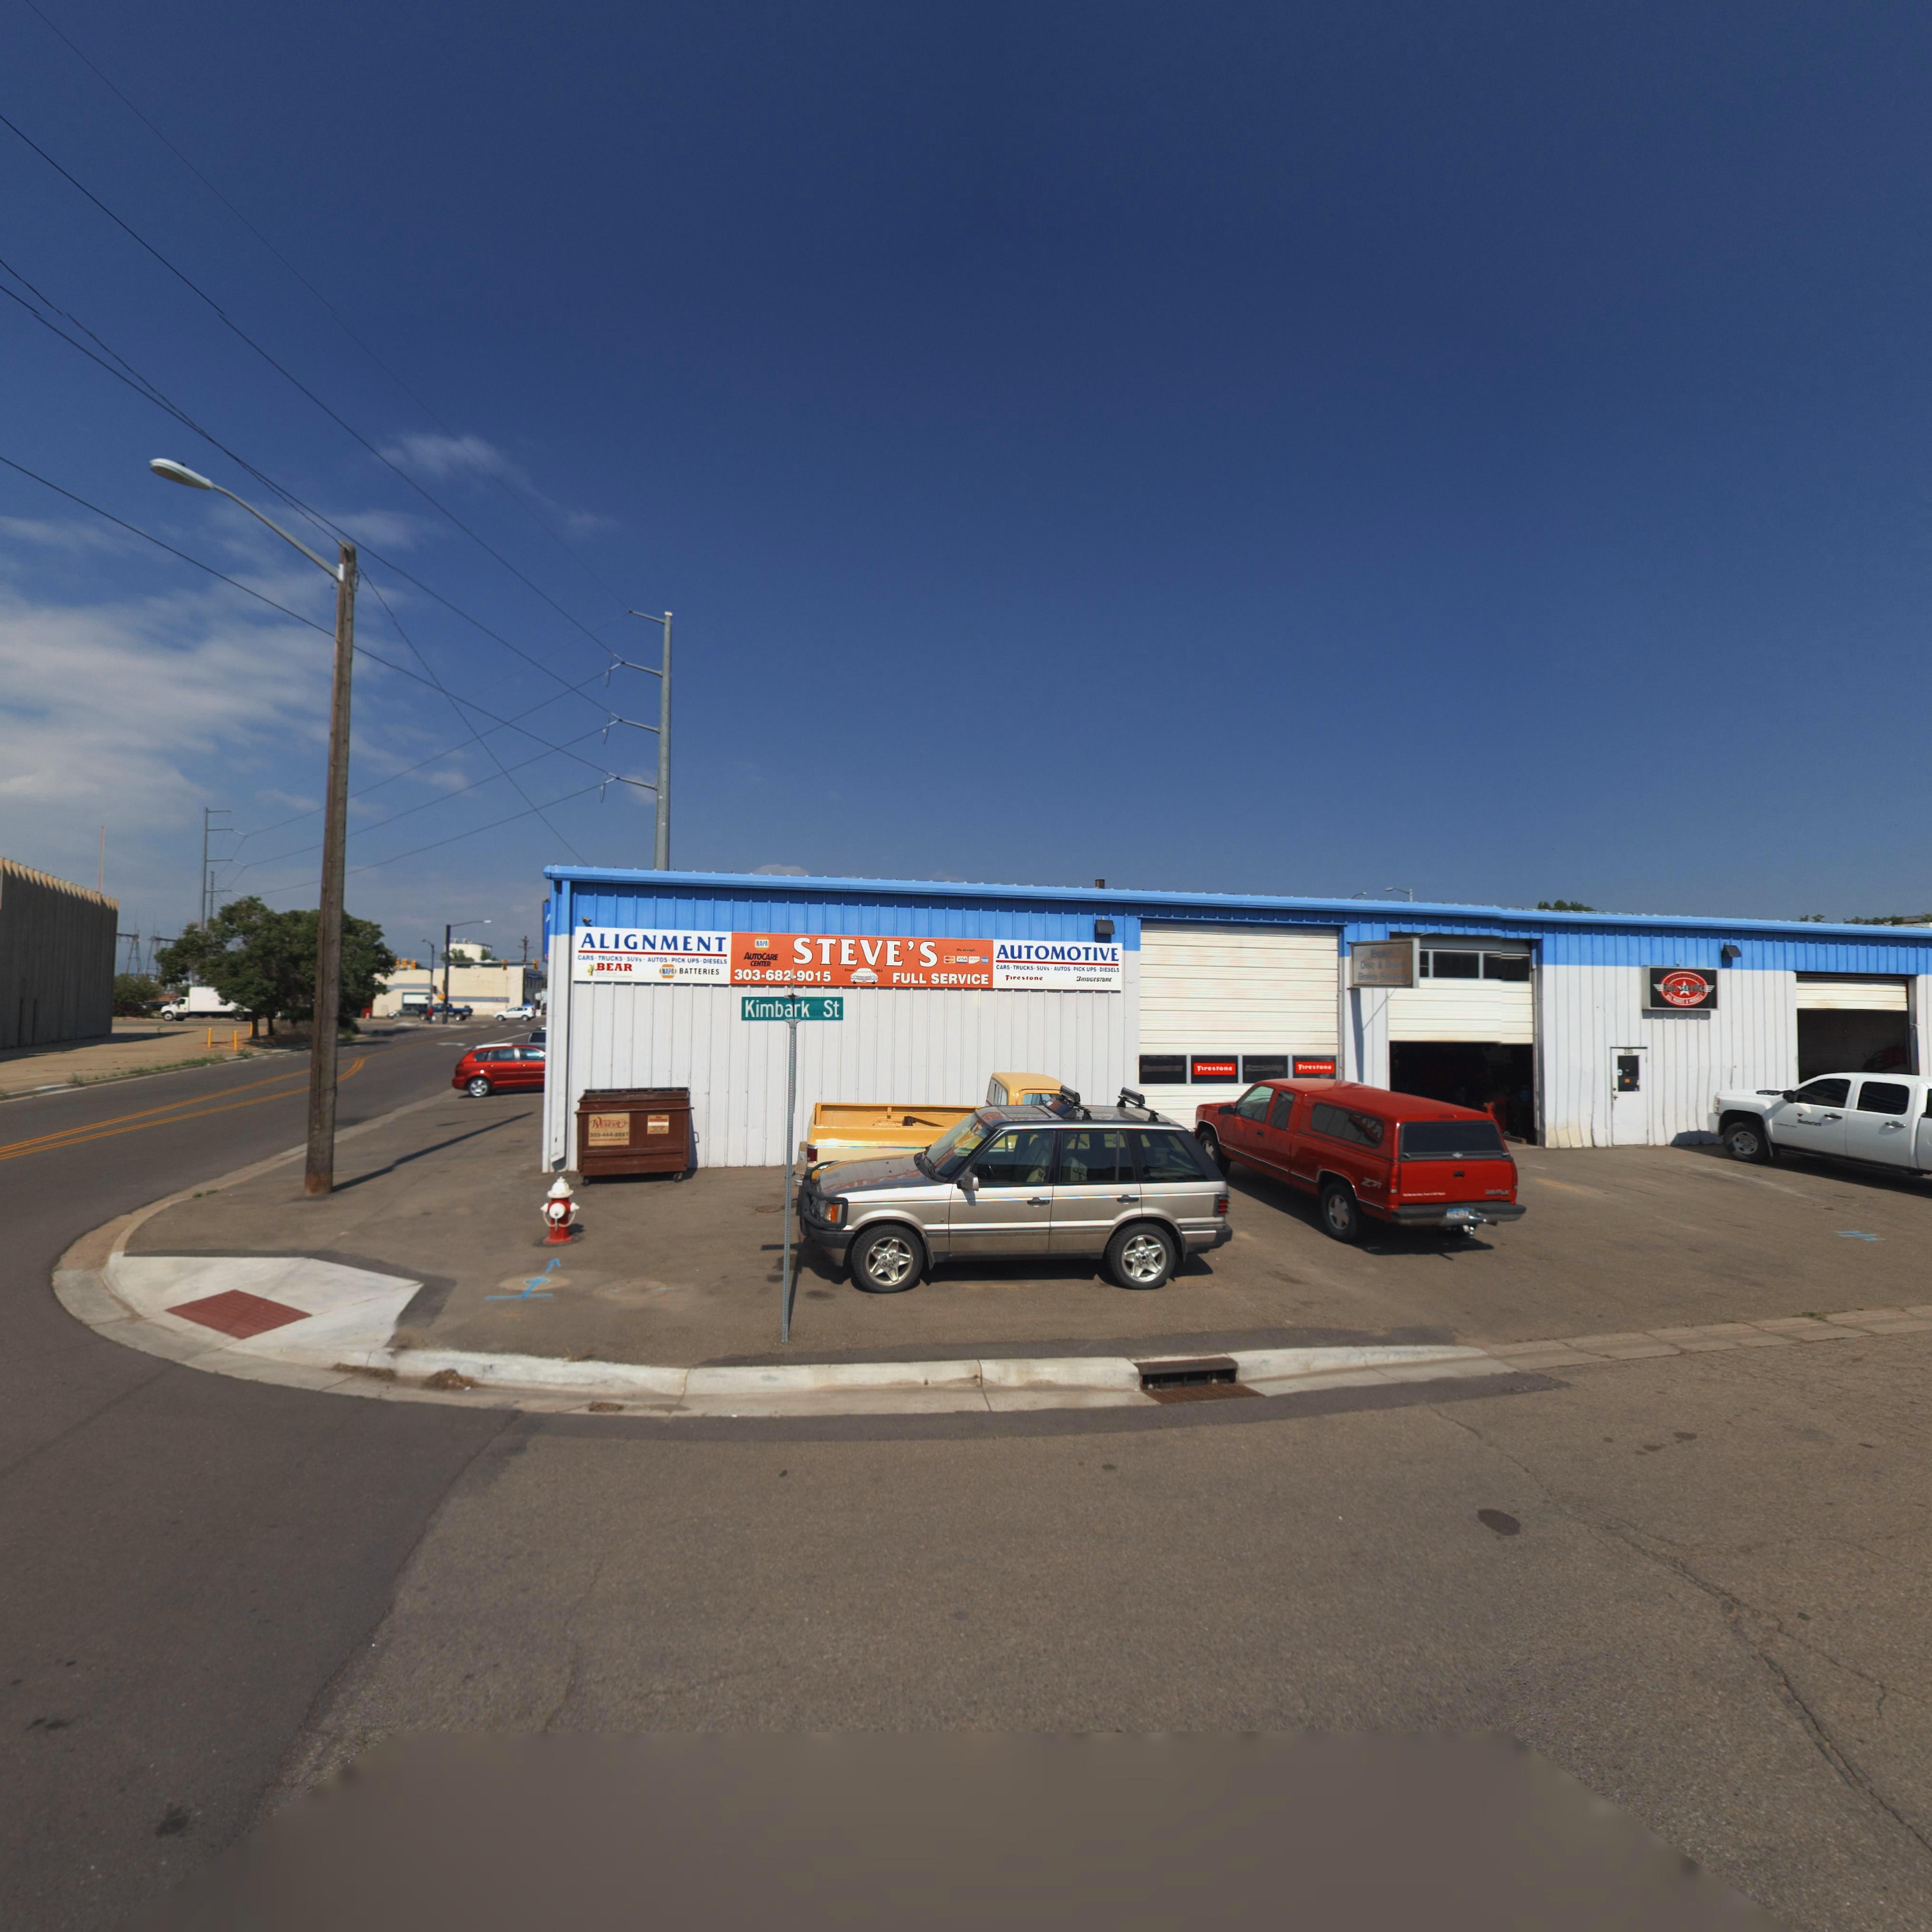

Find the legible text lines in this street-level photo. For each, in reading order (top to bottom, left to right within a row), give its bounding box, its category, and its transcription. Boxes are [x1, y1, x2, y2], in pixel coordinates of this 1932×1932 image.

[792, 937, 938, 967] BusinessName: STEVE'S
[996, 944, 1119, 961] BusinessName: AUTOMOTIVE
[744, 999, 840, 1018] StreetName: Kimbark St
[1623, 1048, 1633, 1055] StreetNumber: 205